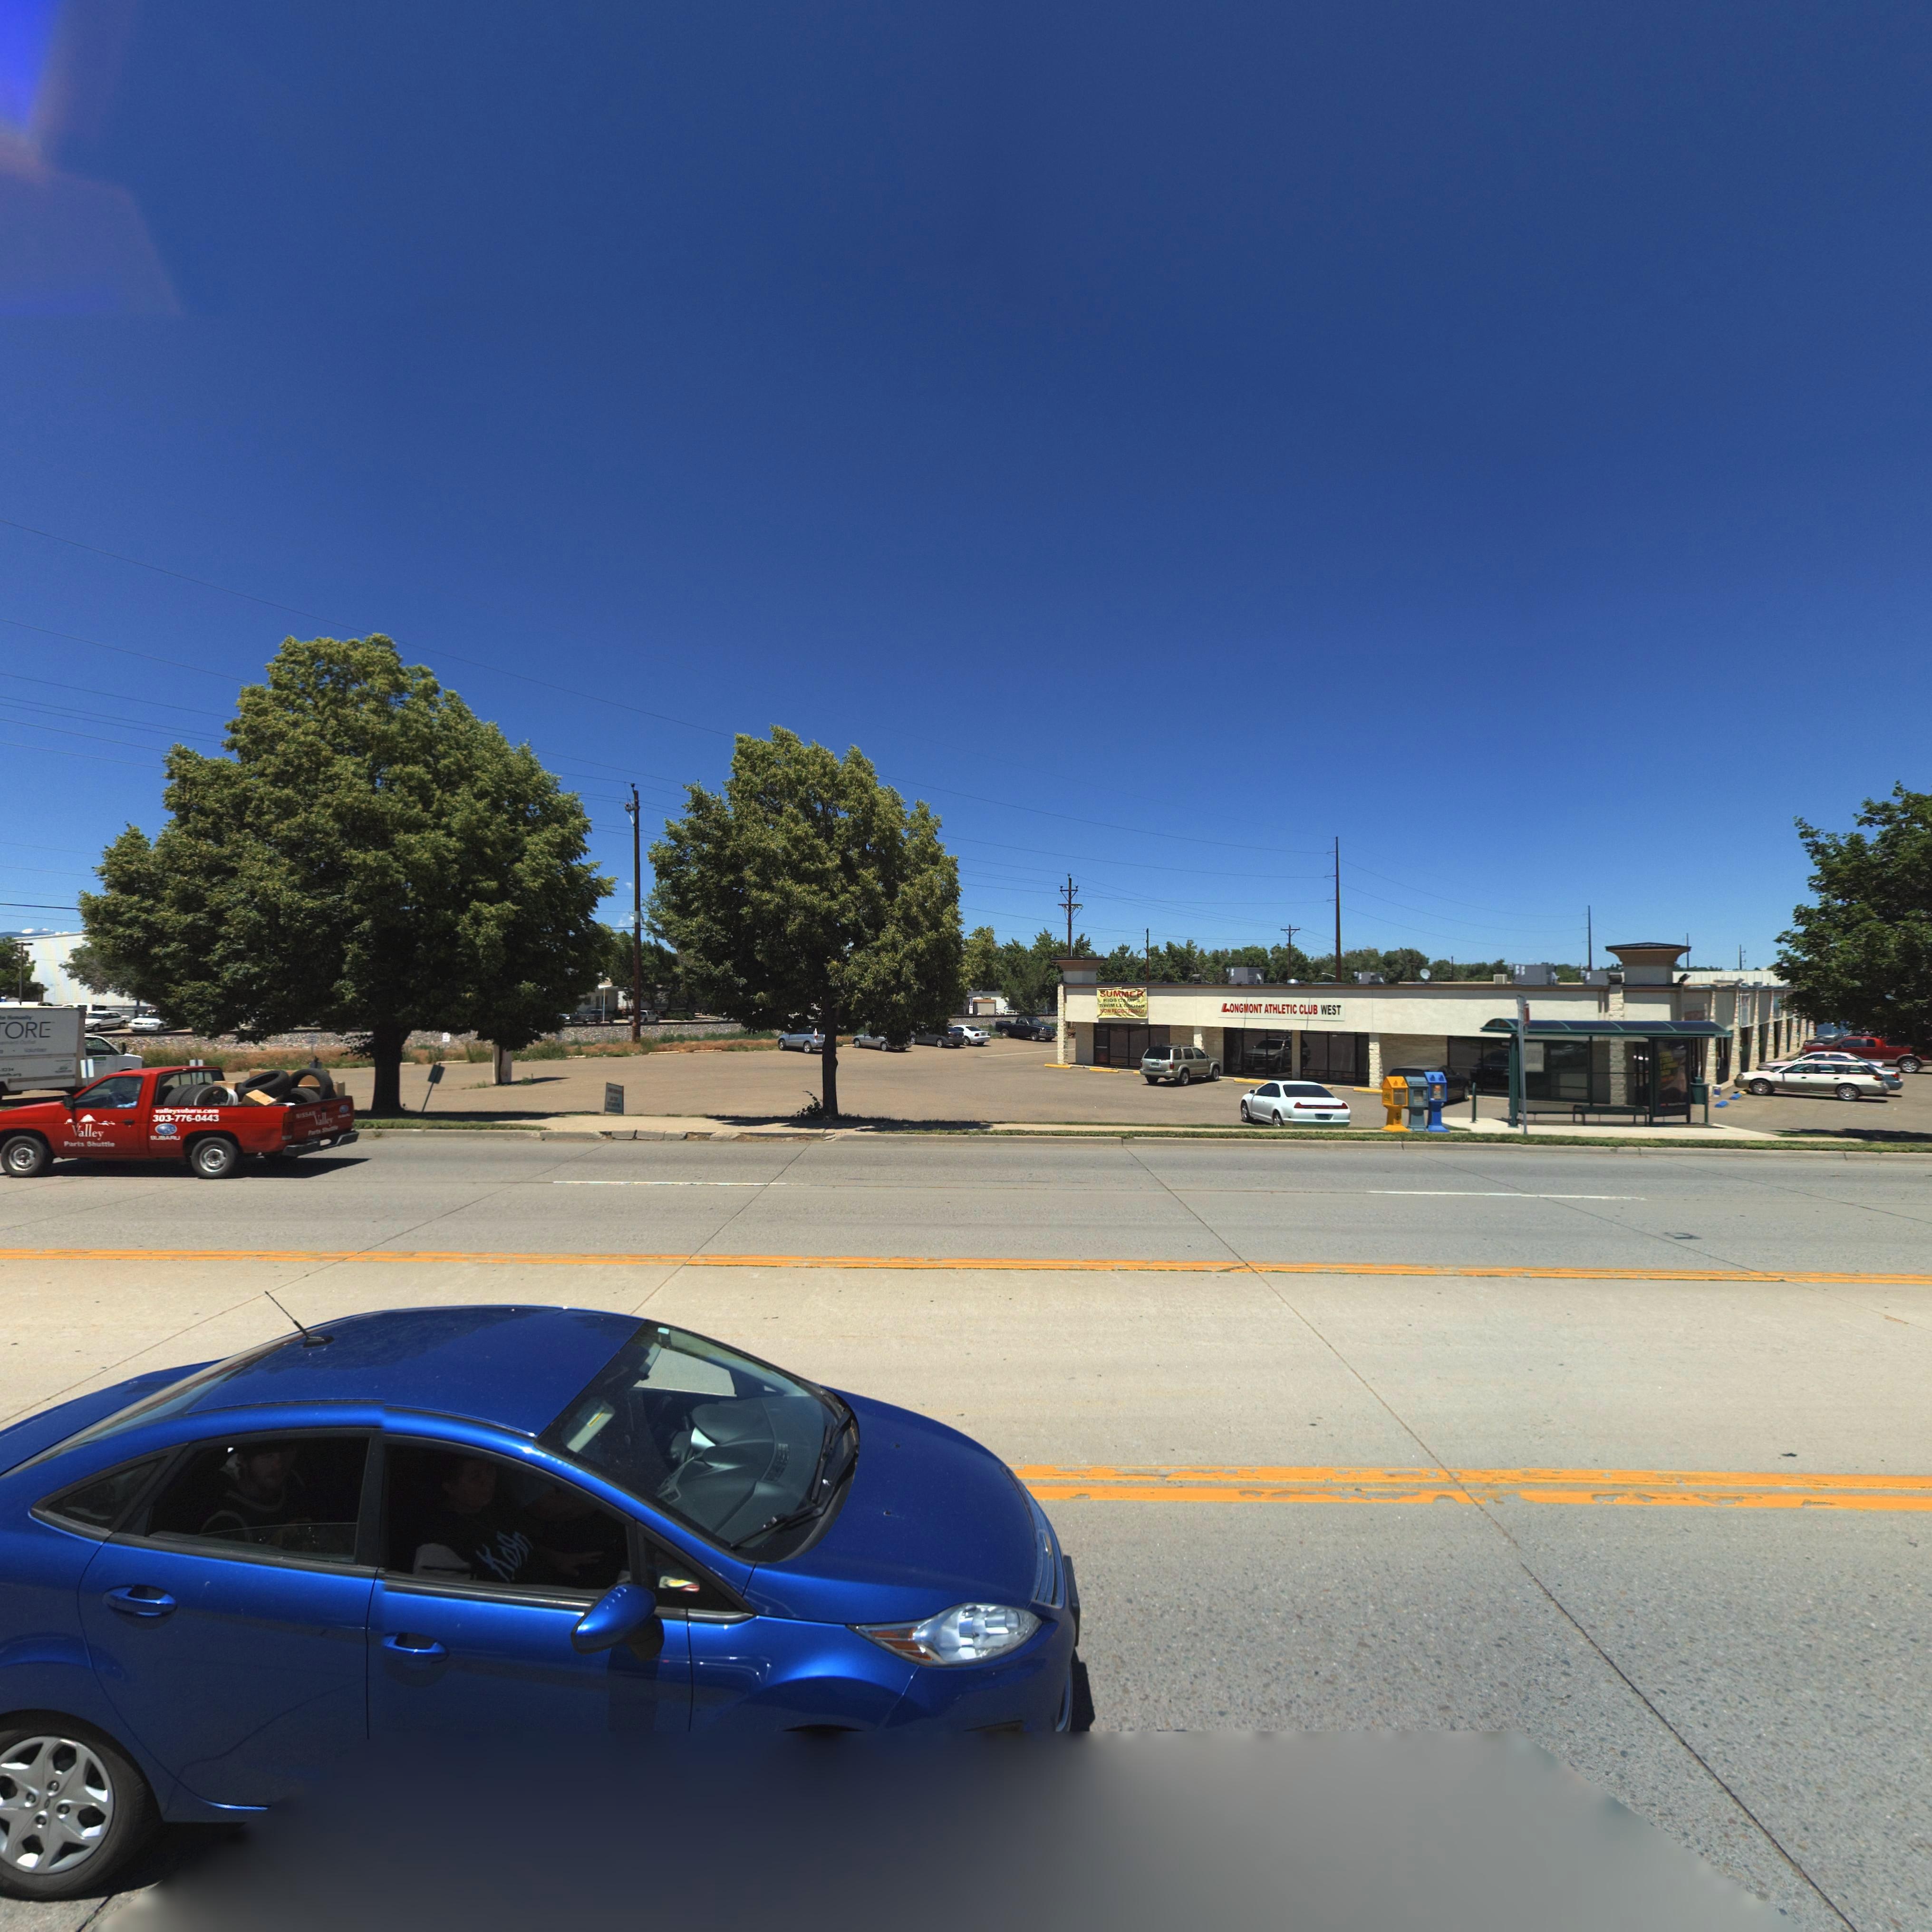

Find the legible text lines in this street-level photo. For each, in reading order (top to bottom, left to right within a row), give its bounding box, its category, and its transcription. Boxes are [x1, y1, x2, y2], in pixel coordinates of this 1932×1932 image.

[1221, 1002, 1342, 1015] BusinessName: LONGMONT ATHLETIC CLUB WEST